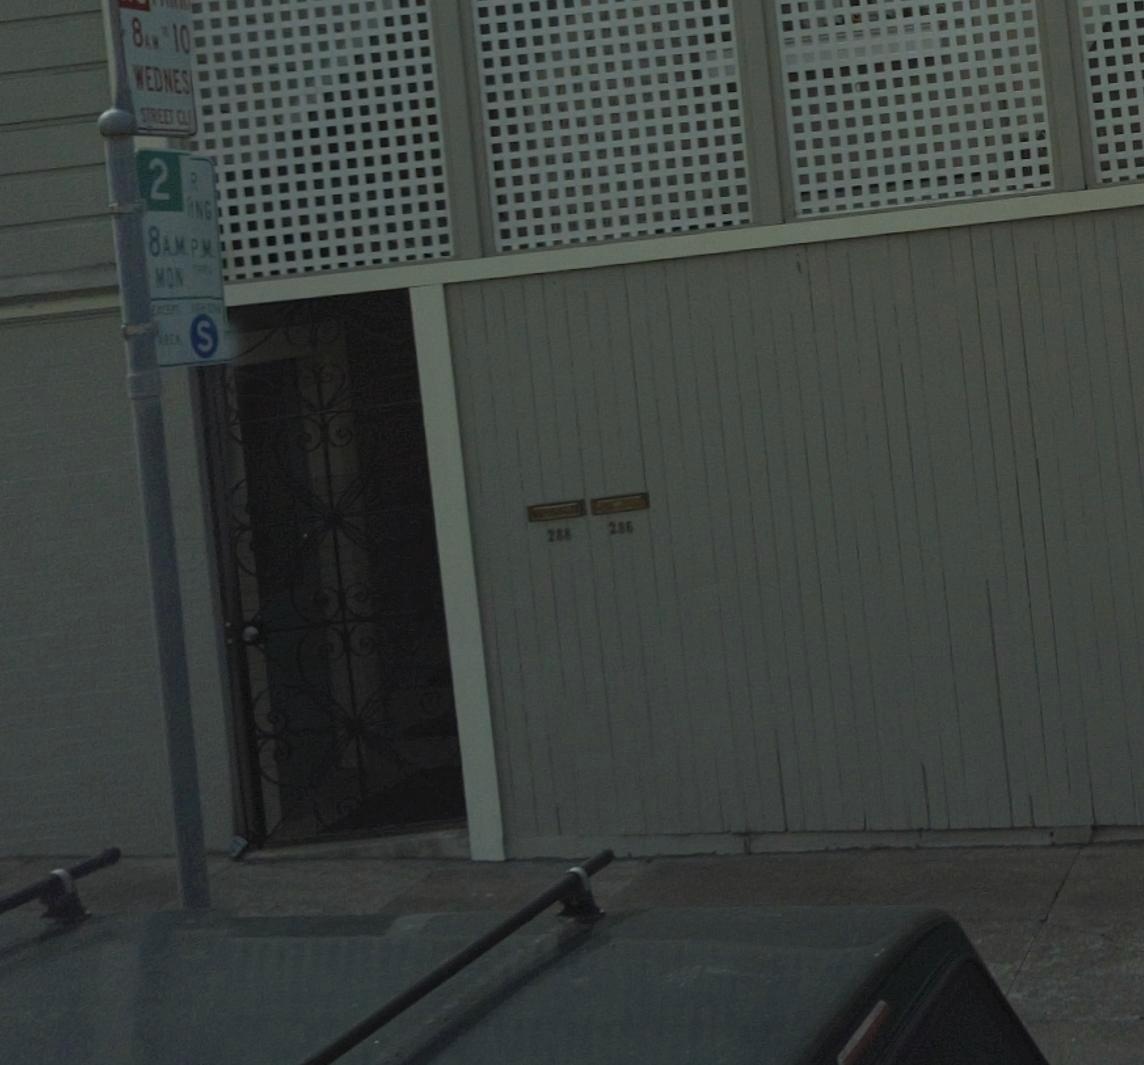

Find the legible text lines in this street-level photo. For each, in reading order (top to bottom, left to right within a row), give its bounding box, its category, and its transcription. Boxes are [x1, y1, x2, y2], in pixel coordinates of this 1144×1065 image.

[128, 14, 143, 47] None: 87
[144, 31, 161, 48] None: AM
[161, 24, 170, 38] None: T*
[170, 22, 193, 55] None: 10
[130, 62, 192, 95] None: WEDNES
[139, 106, 174, 126] None: STREET
[147, 156, 171, 200] None: 2
[188, 171, 201, 192] None: R
[189, 199, 213, 221] None: NG
[146, 223, 163, 258] None: 8
[161, 233, 186, 257] None: A.M.
[189, 237, 214, 258] None: P.M.
[153, 264, 185, 291] None: MON
[195, 320, 216, 353] None: S
[545, 526, 575, 543] StreetNumber: 288
[606, 519, 636, 536] StreetNumber: 286